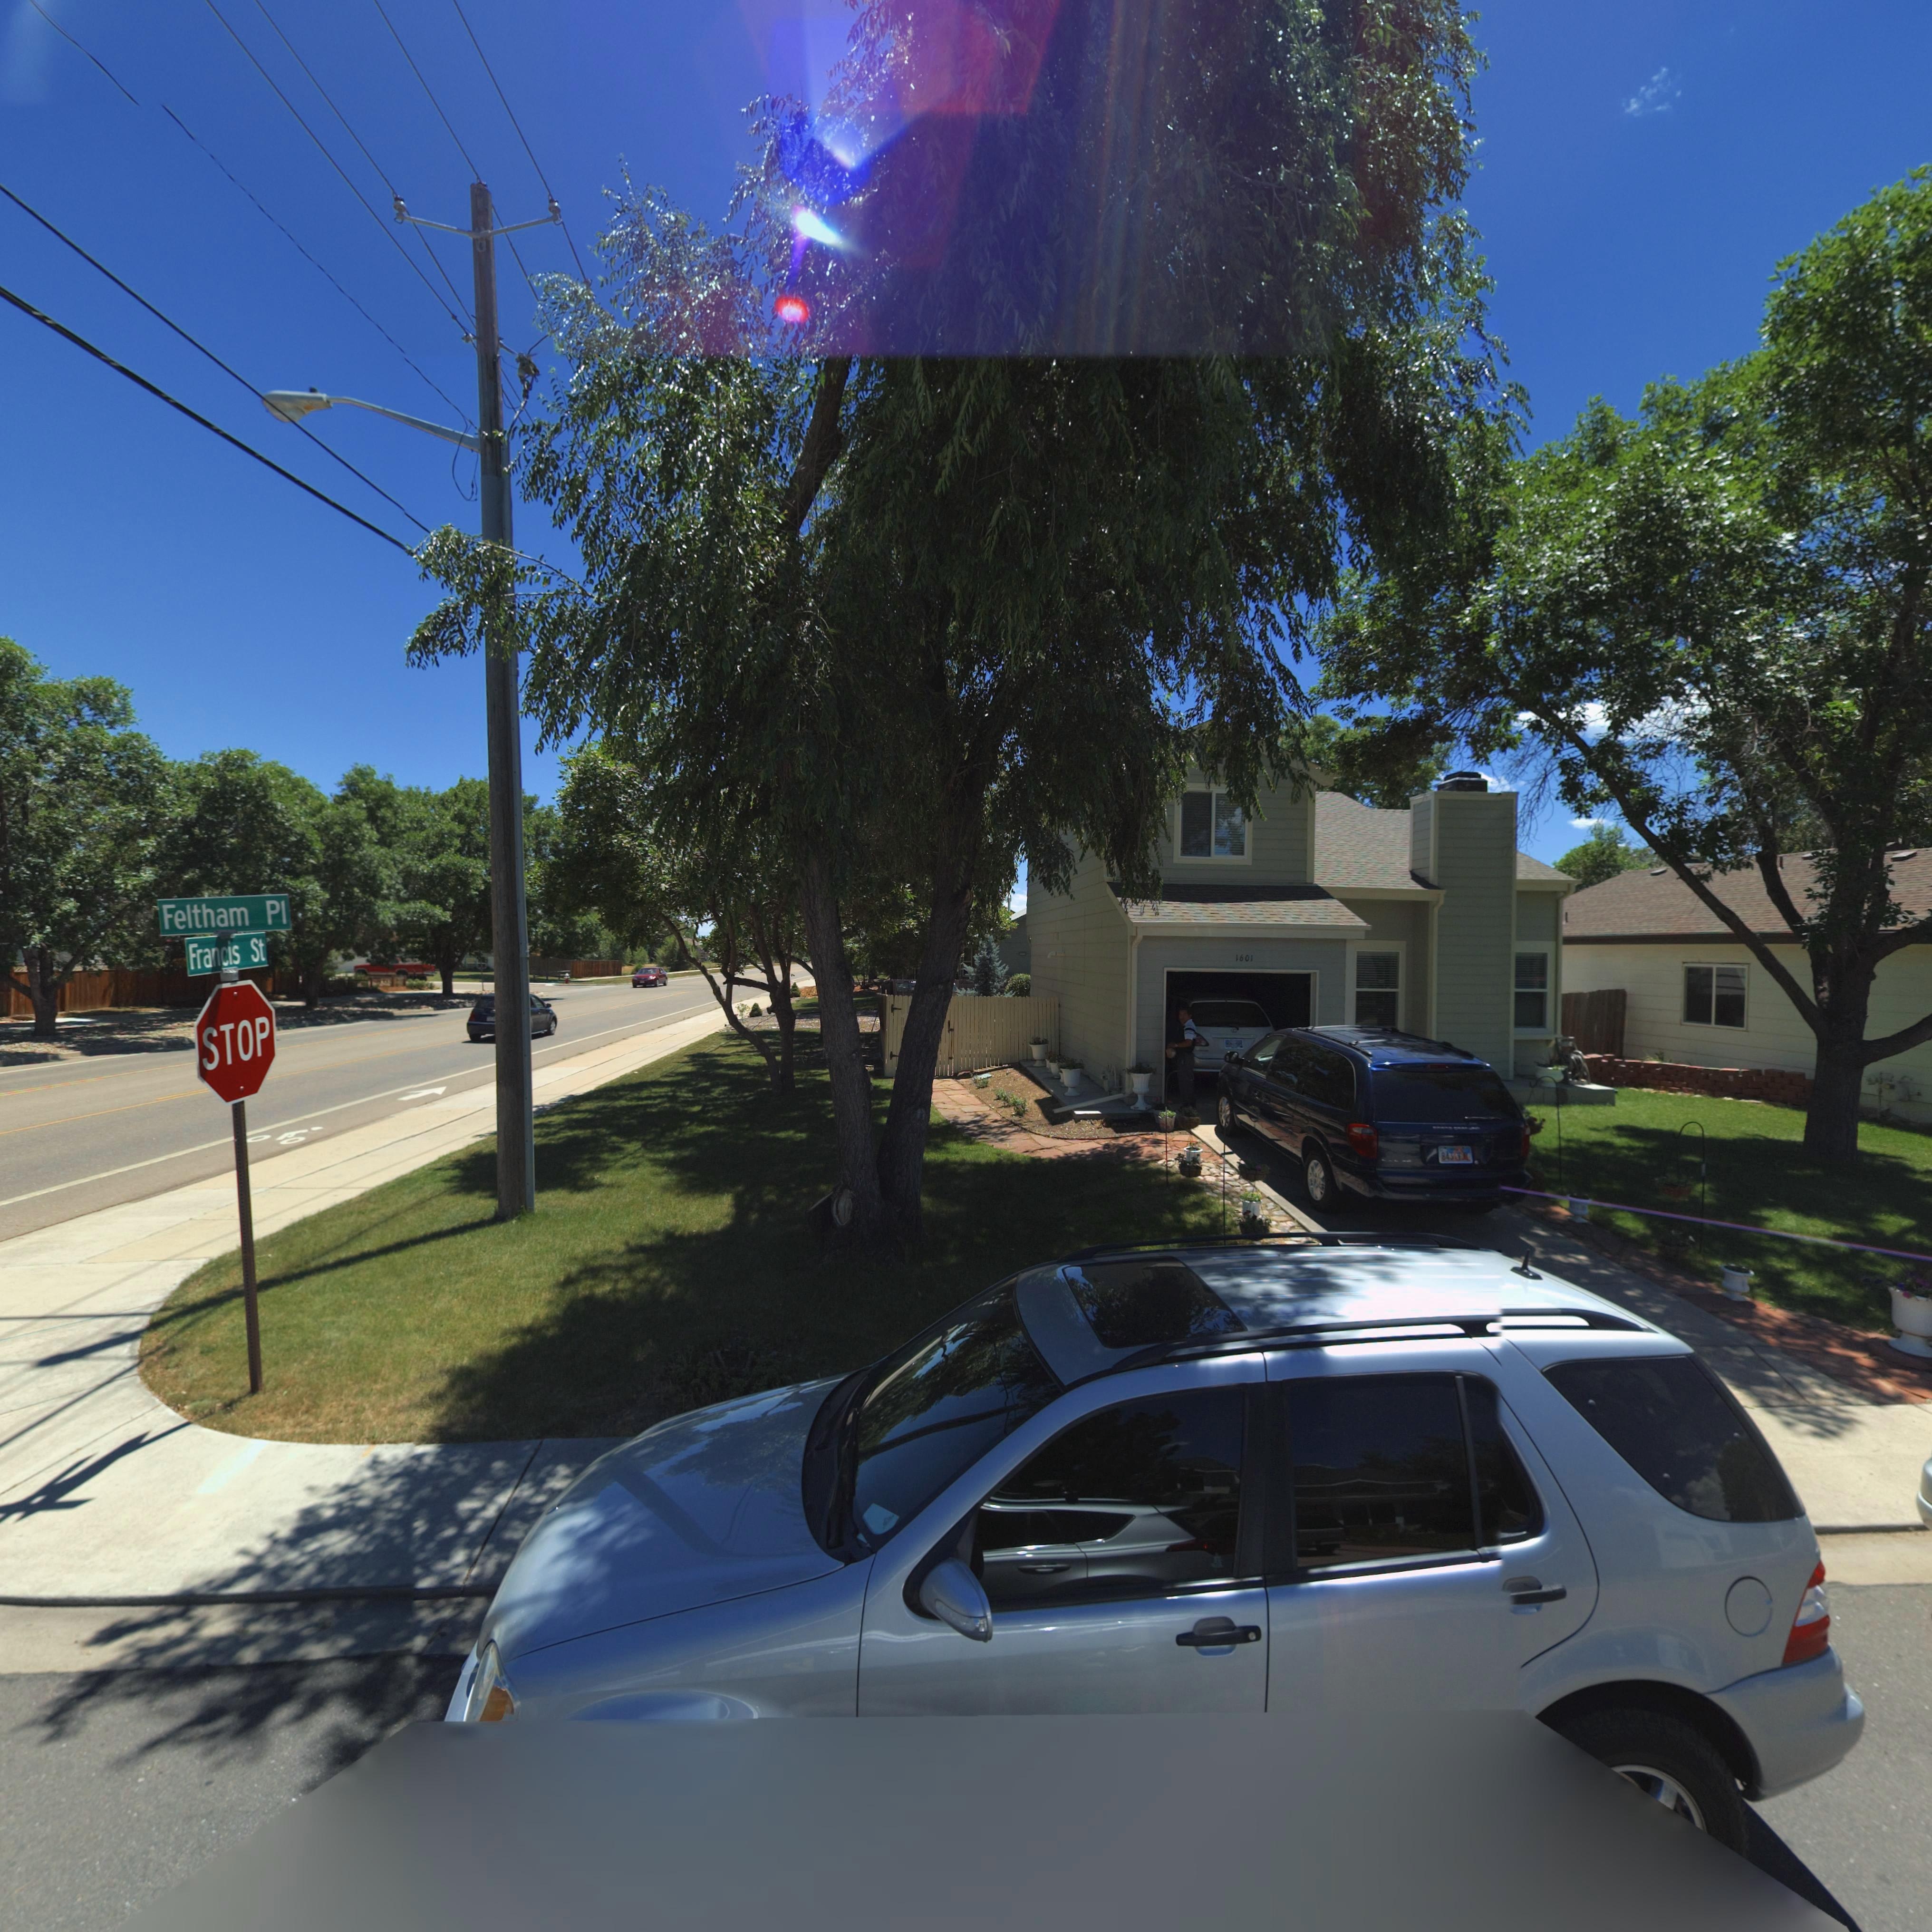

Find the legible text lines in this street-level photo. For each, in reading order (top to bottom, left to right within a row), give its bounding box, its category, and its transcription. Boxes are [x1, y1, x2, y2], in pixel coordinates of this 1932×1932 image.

[162, 899, 287, 931] StreetName: Feltham Pl
[187, 937, 265, 970] StreetName: Francis St
[1236, 954, 1253, 962] StreetNumber: 1601